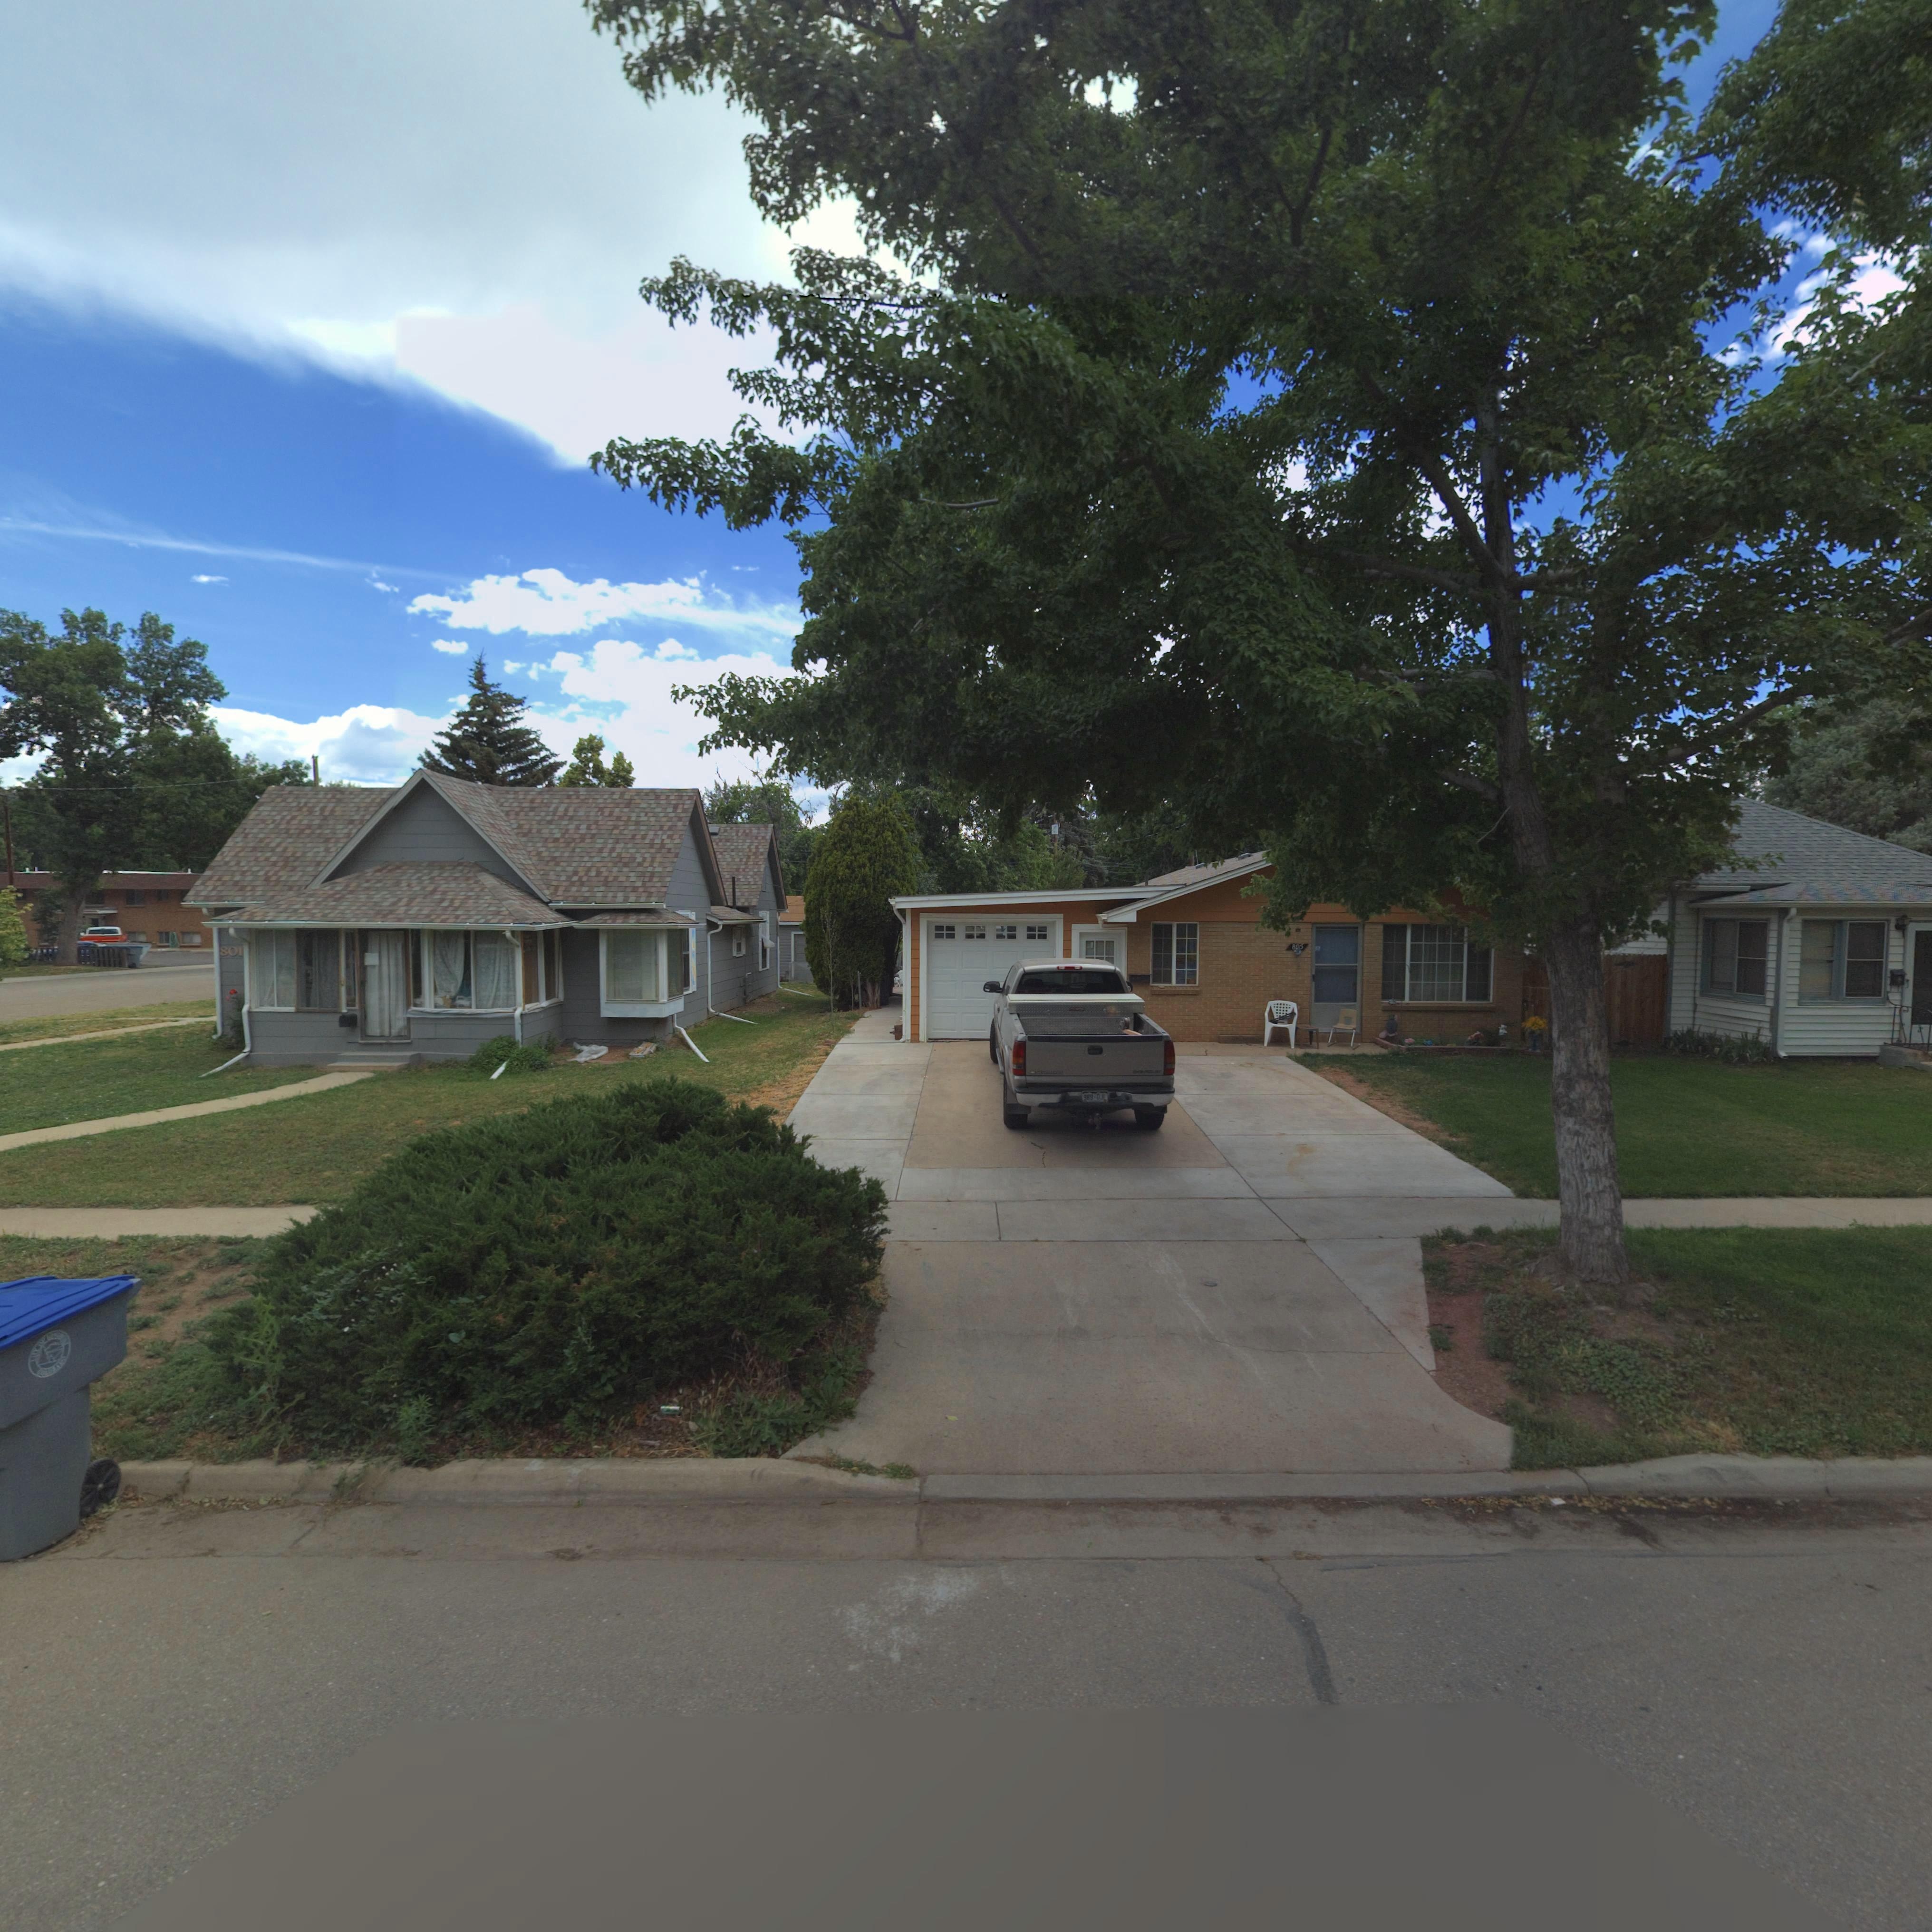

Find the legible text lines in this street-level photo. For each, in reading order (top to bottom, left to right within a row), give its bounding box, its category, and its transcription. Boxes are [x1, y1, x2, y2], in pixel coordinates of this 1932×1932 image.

[219, 946, 243, 956] StreetNumber: 801
[1291, 944, 1304, 950] StreetNumber: 8*5